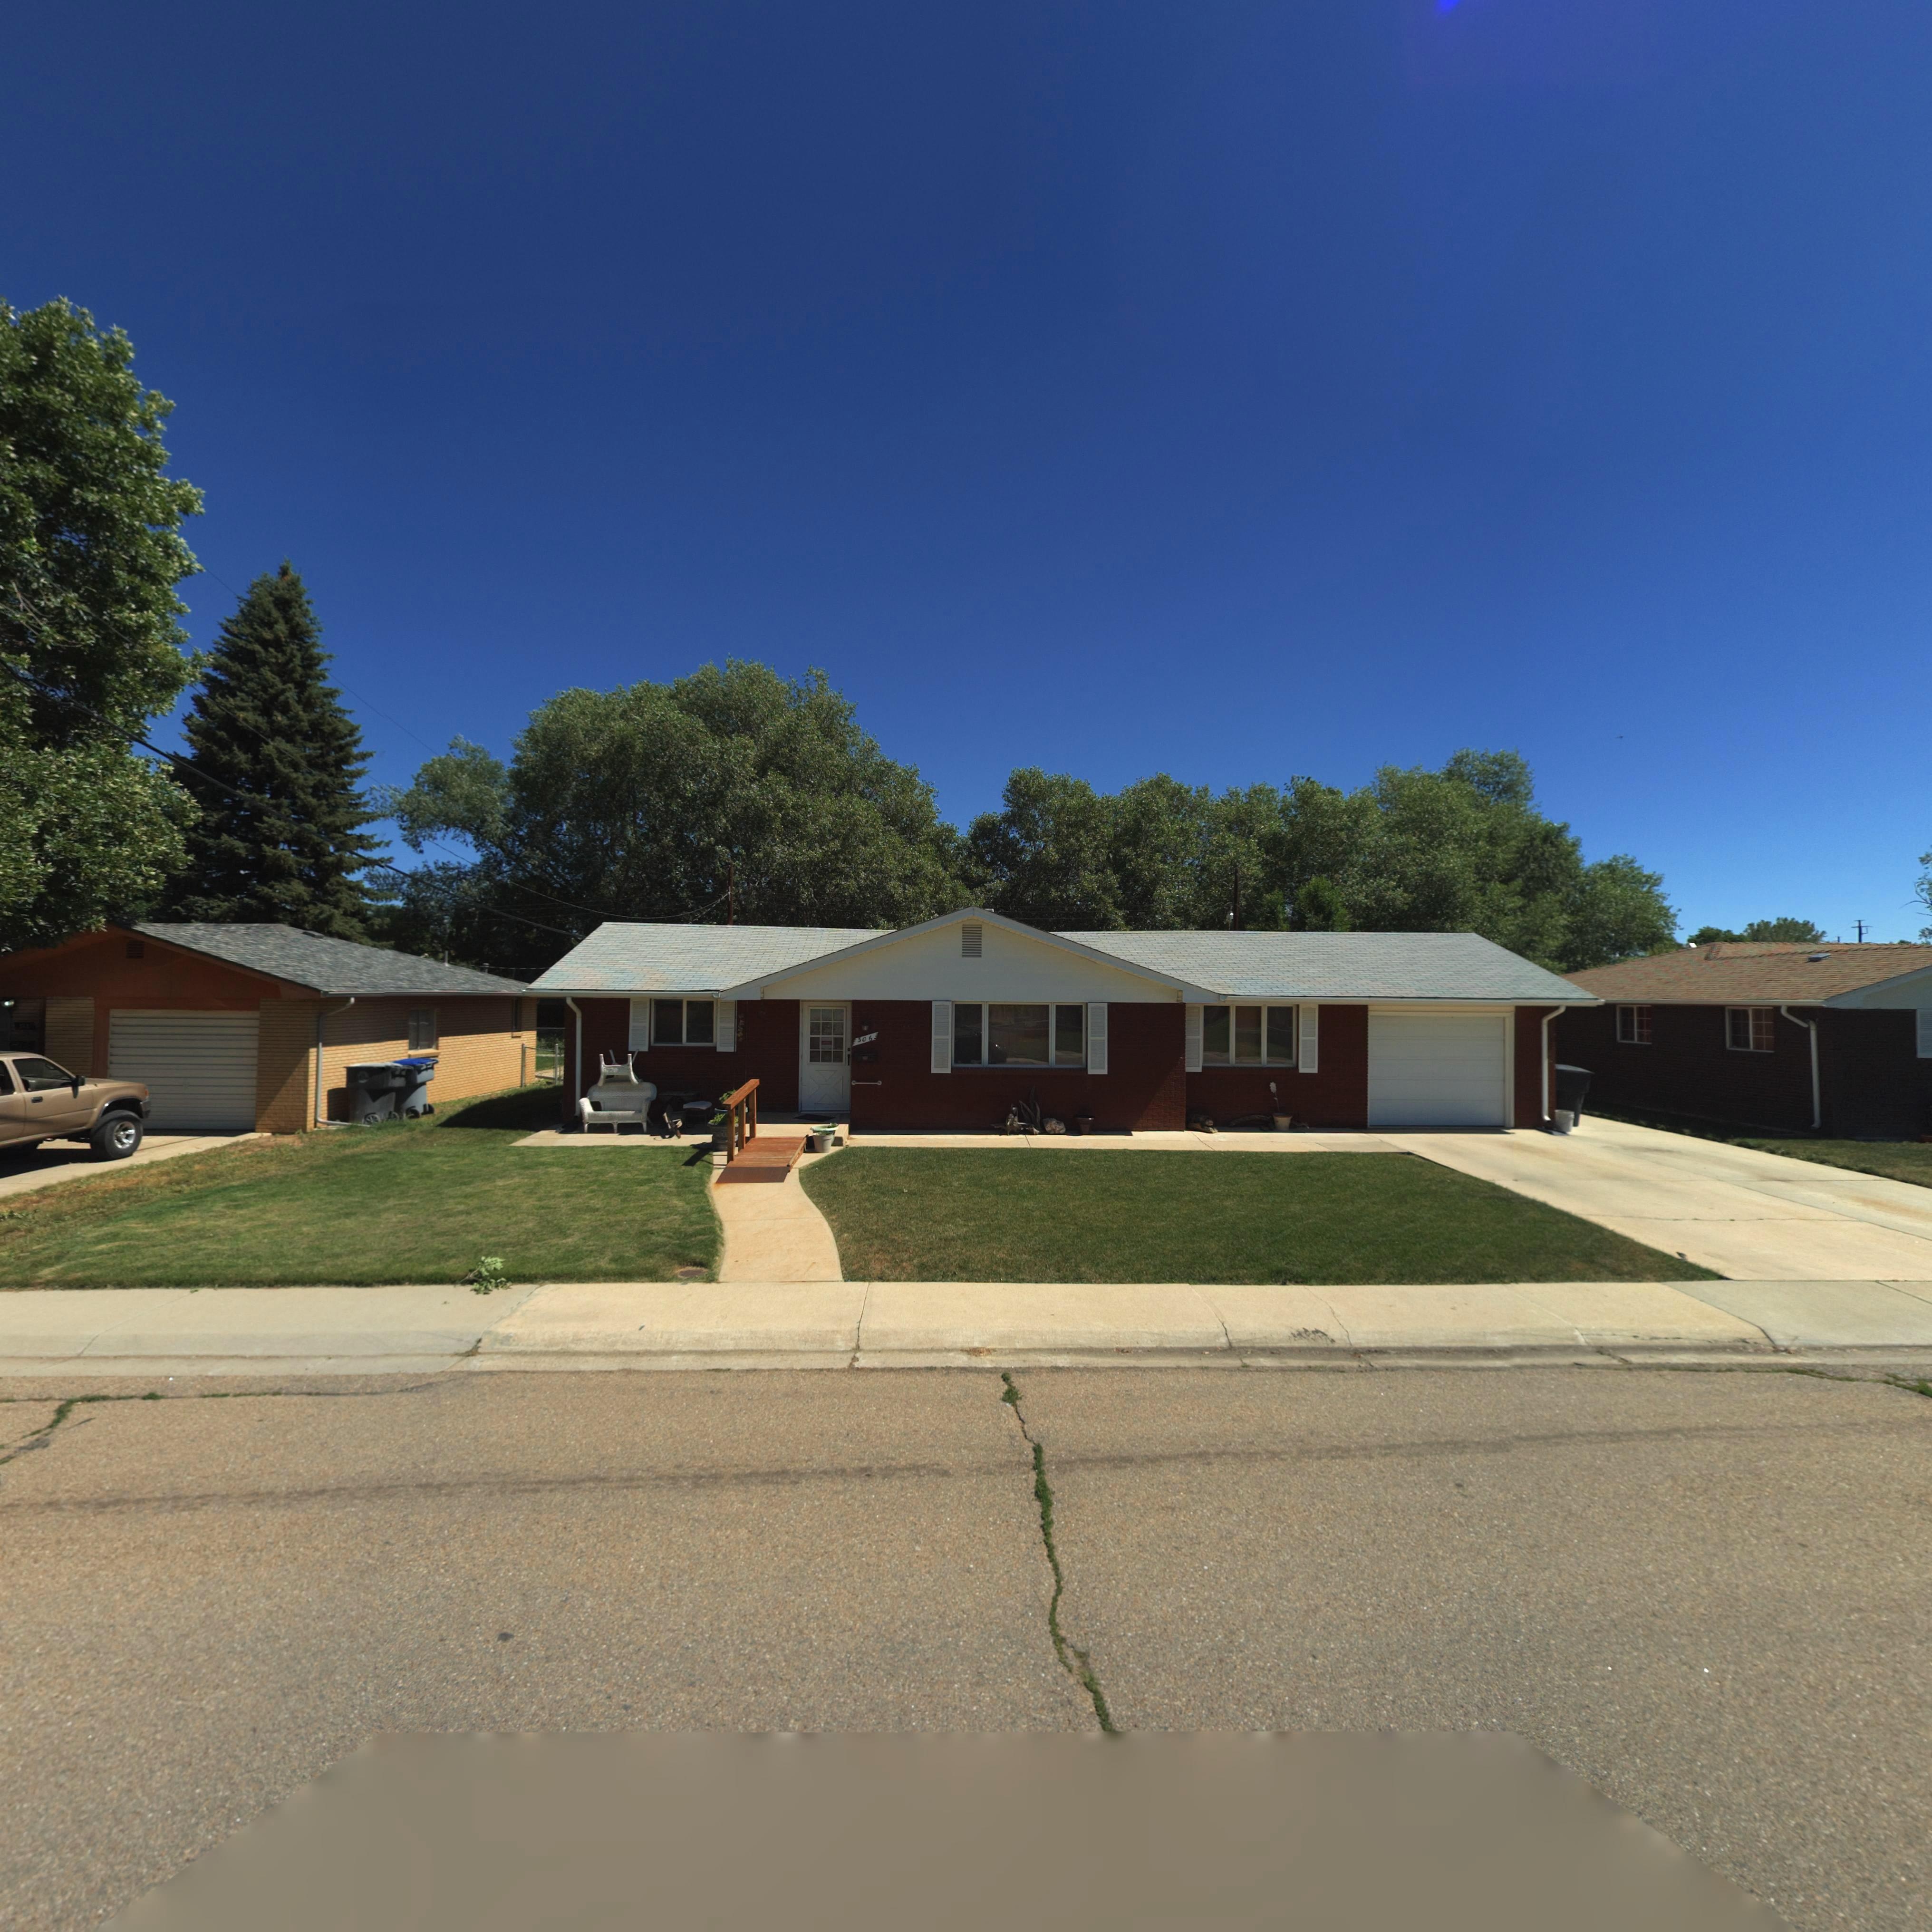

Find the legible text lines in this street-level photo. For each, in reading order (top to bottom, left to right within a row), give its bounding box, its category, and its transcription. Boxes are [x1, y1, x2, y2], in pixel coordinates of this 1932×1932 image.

[857, 1035, 873, 1042] StreetNumber: 306